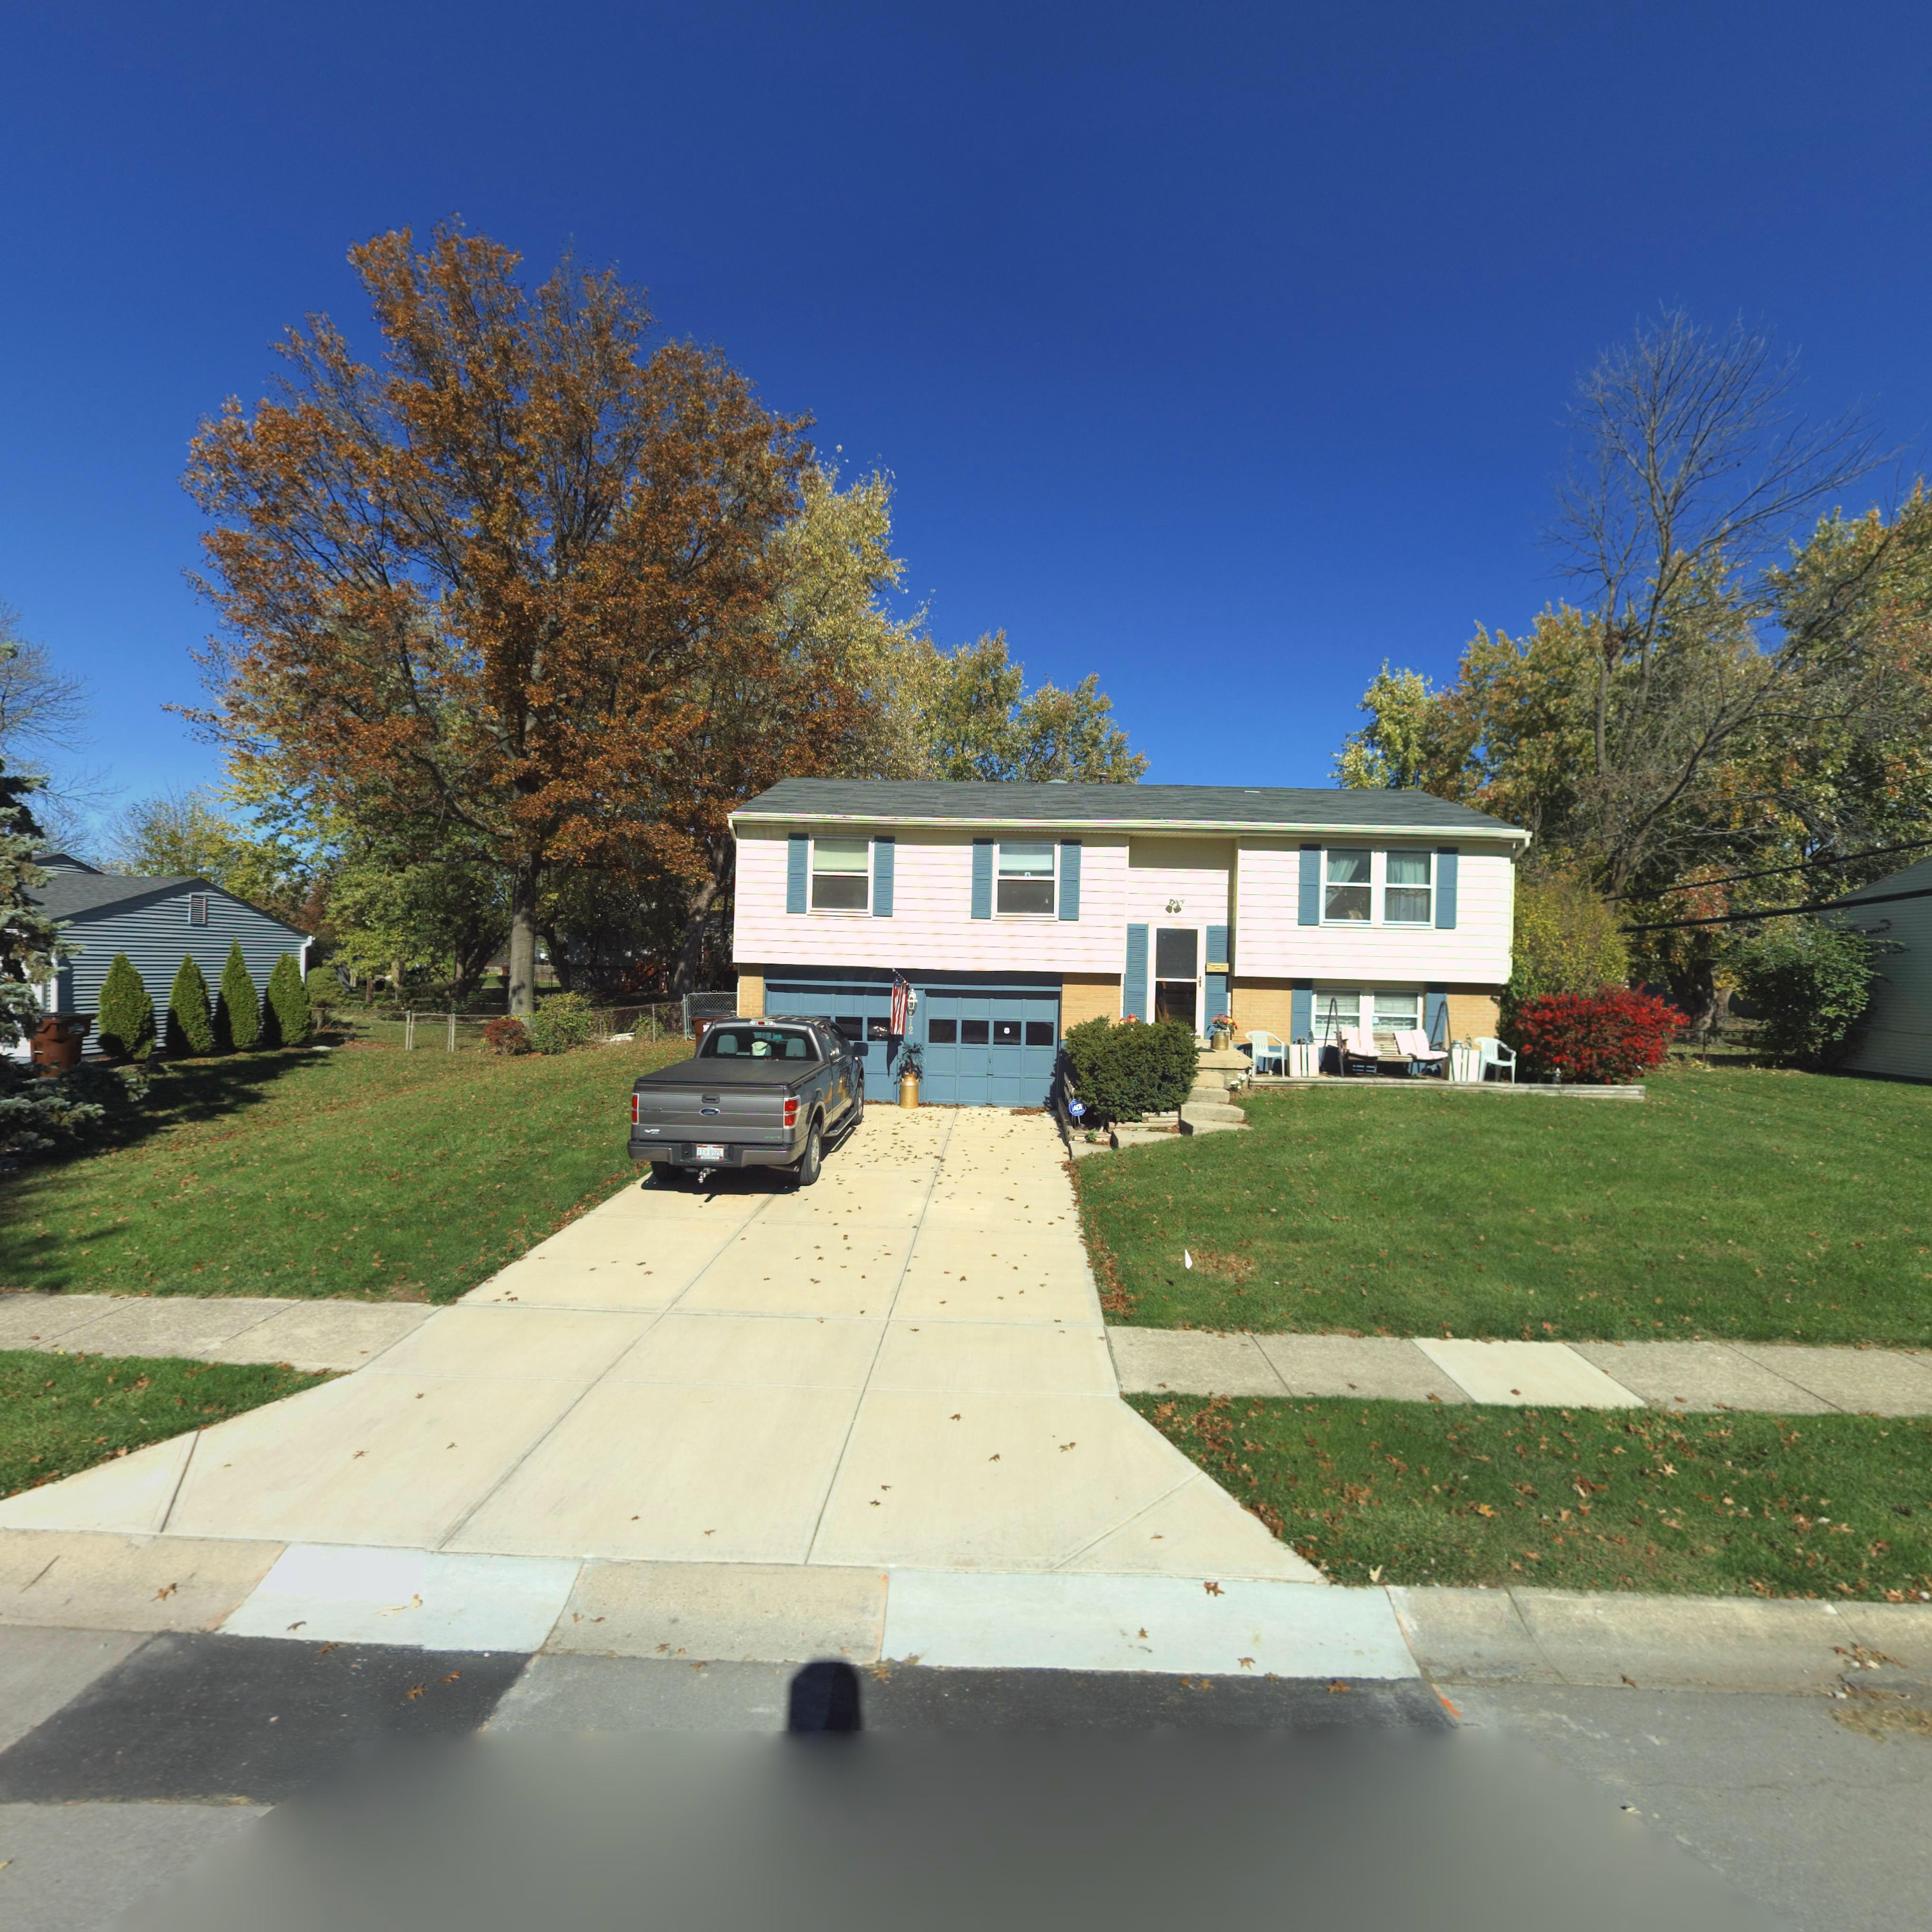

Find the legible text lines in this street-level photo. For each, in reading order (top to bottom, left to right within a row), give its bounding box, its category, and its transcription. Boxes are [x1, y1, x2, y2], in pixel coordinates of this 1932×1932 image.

[908, 1010, 914, 1035] StreetNumber: 212